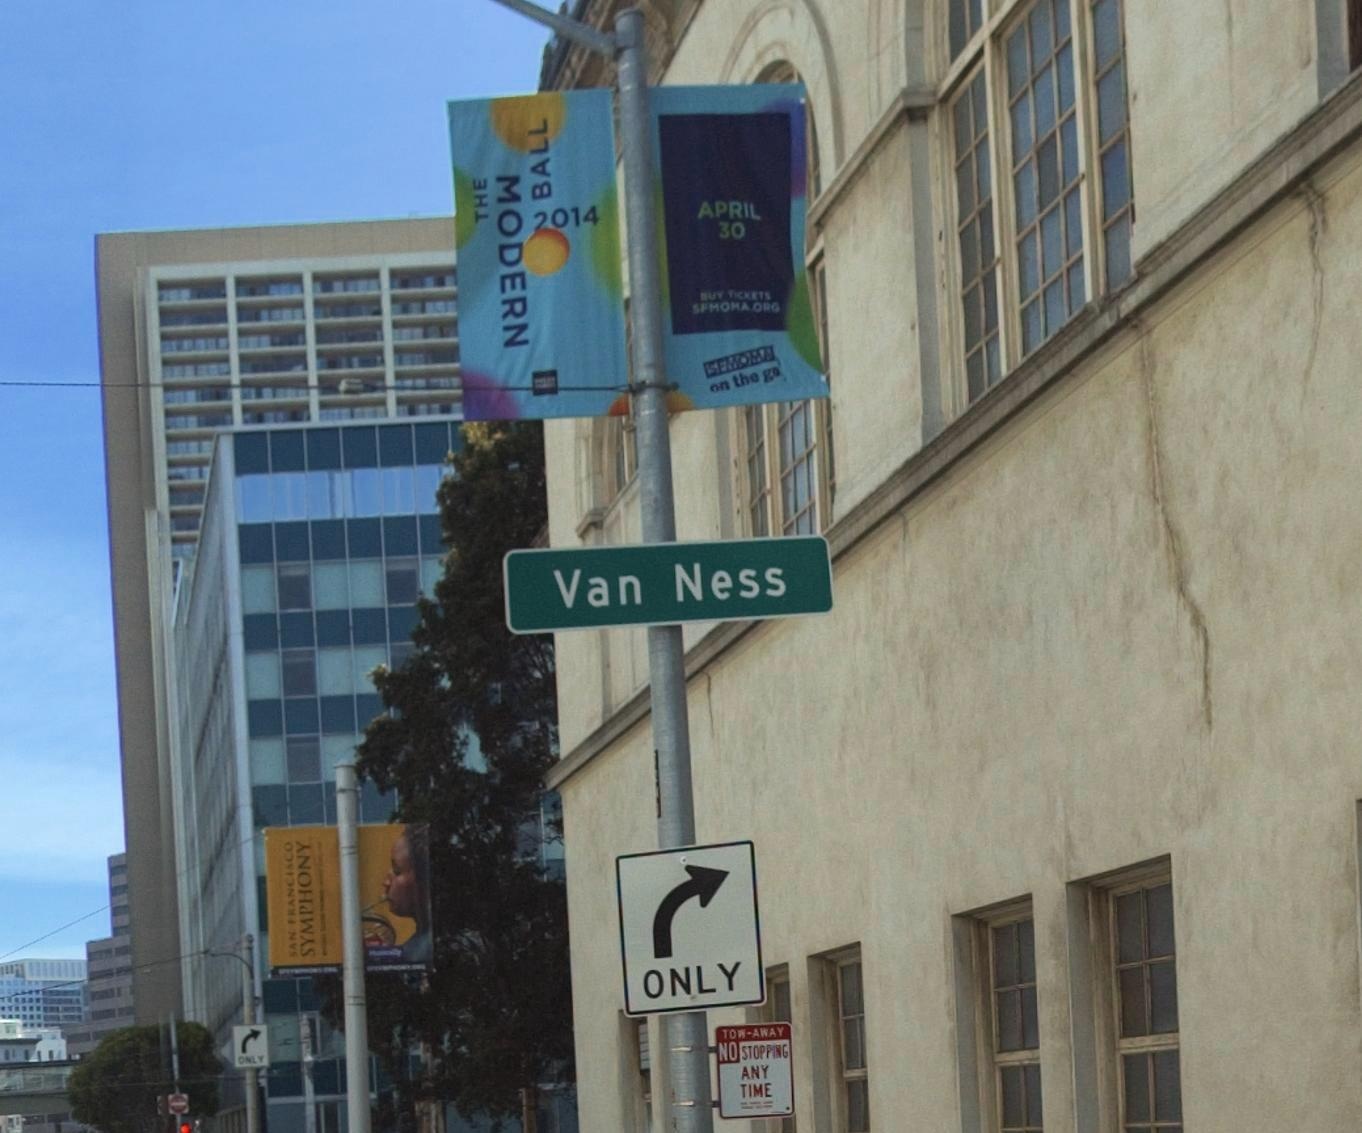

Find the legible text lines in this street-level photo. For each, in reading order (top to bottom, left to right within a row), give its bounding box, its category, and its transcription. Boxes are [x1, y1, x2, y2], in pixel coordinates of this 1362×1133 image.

[527, 117, 555, 201] None: BALL
[470, 174, 490, 227] None: THE
[531, 203, 602, 231] None: 2014
[691, 199, 769, 221] None: APRIL
[714, 220, 748, 240] None: 30
[494, 171, 532, 352] None: MODERN
[697, 290, 775, 300] None: BUY TICKETS
[690, 300, 785, 315] None: SFMOMA.ORG
[705, 346, 775, 378] None: SEMOMA
[706, 361, 784, 399] None: on the go
[549, 555, 791, 614] StreetName: Van Ness
[282, 840, 298, 959] None: SAN FRANCISCO
[295, 840, 317, 958] None: SYMPHONY
[639, 957, 747, 1001] None: ONLY
[718, 1025, 787, 1039] None: TOW-AWAY
[237, 1055, 265, 1064] None: ONLY
[718, 1040, 789, 1062] None: NO STOPPING
[739, 1064, 770, 1080] None: ANY
[739, 1082, 774, 1099] None: TIME